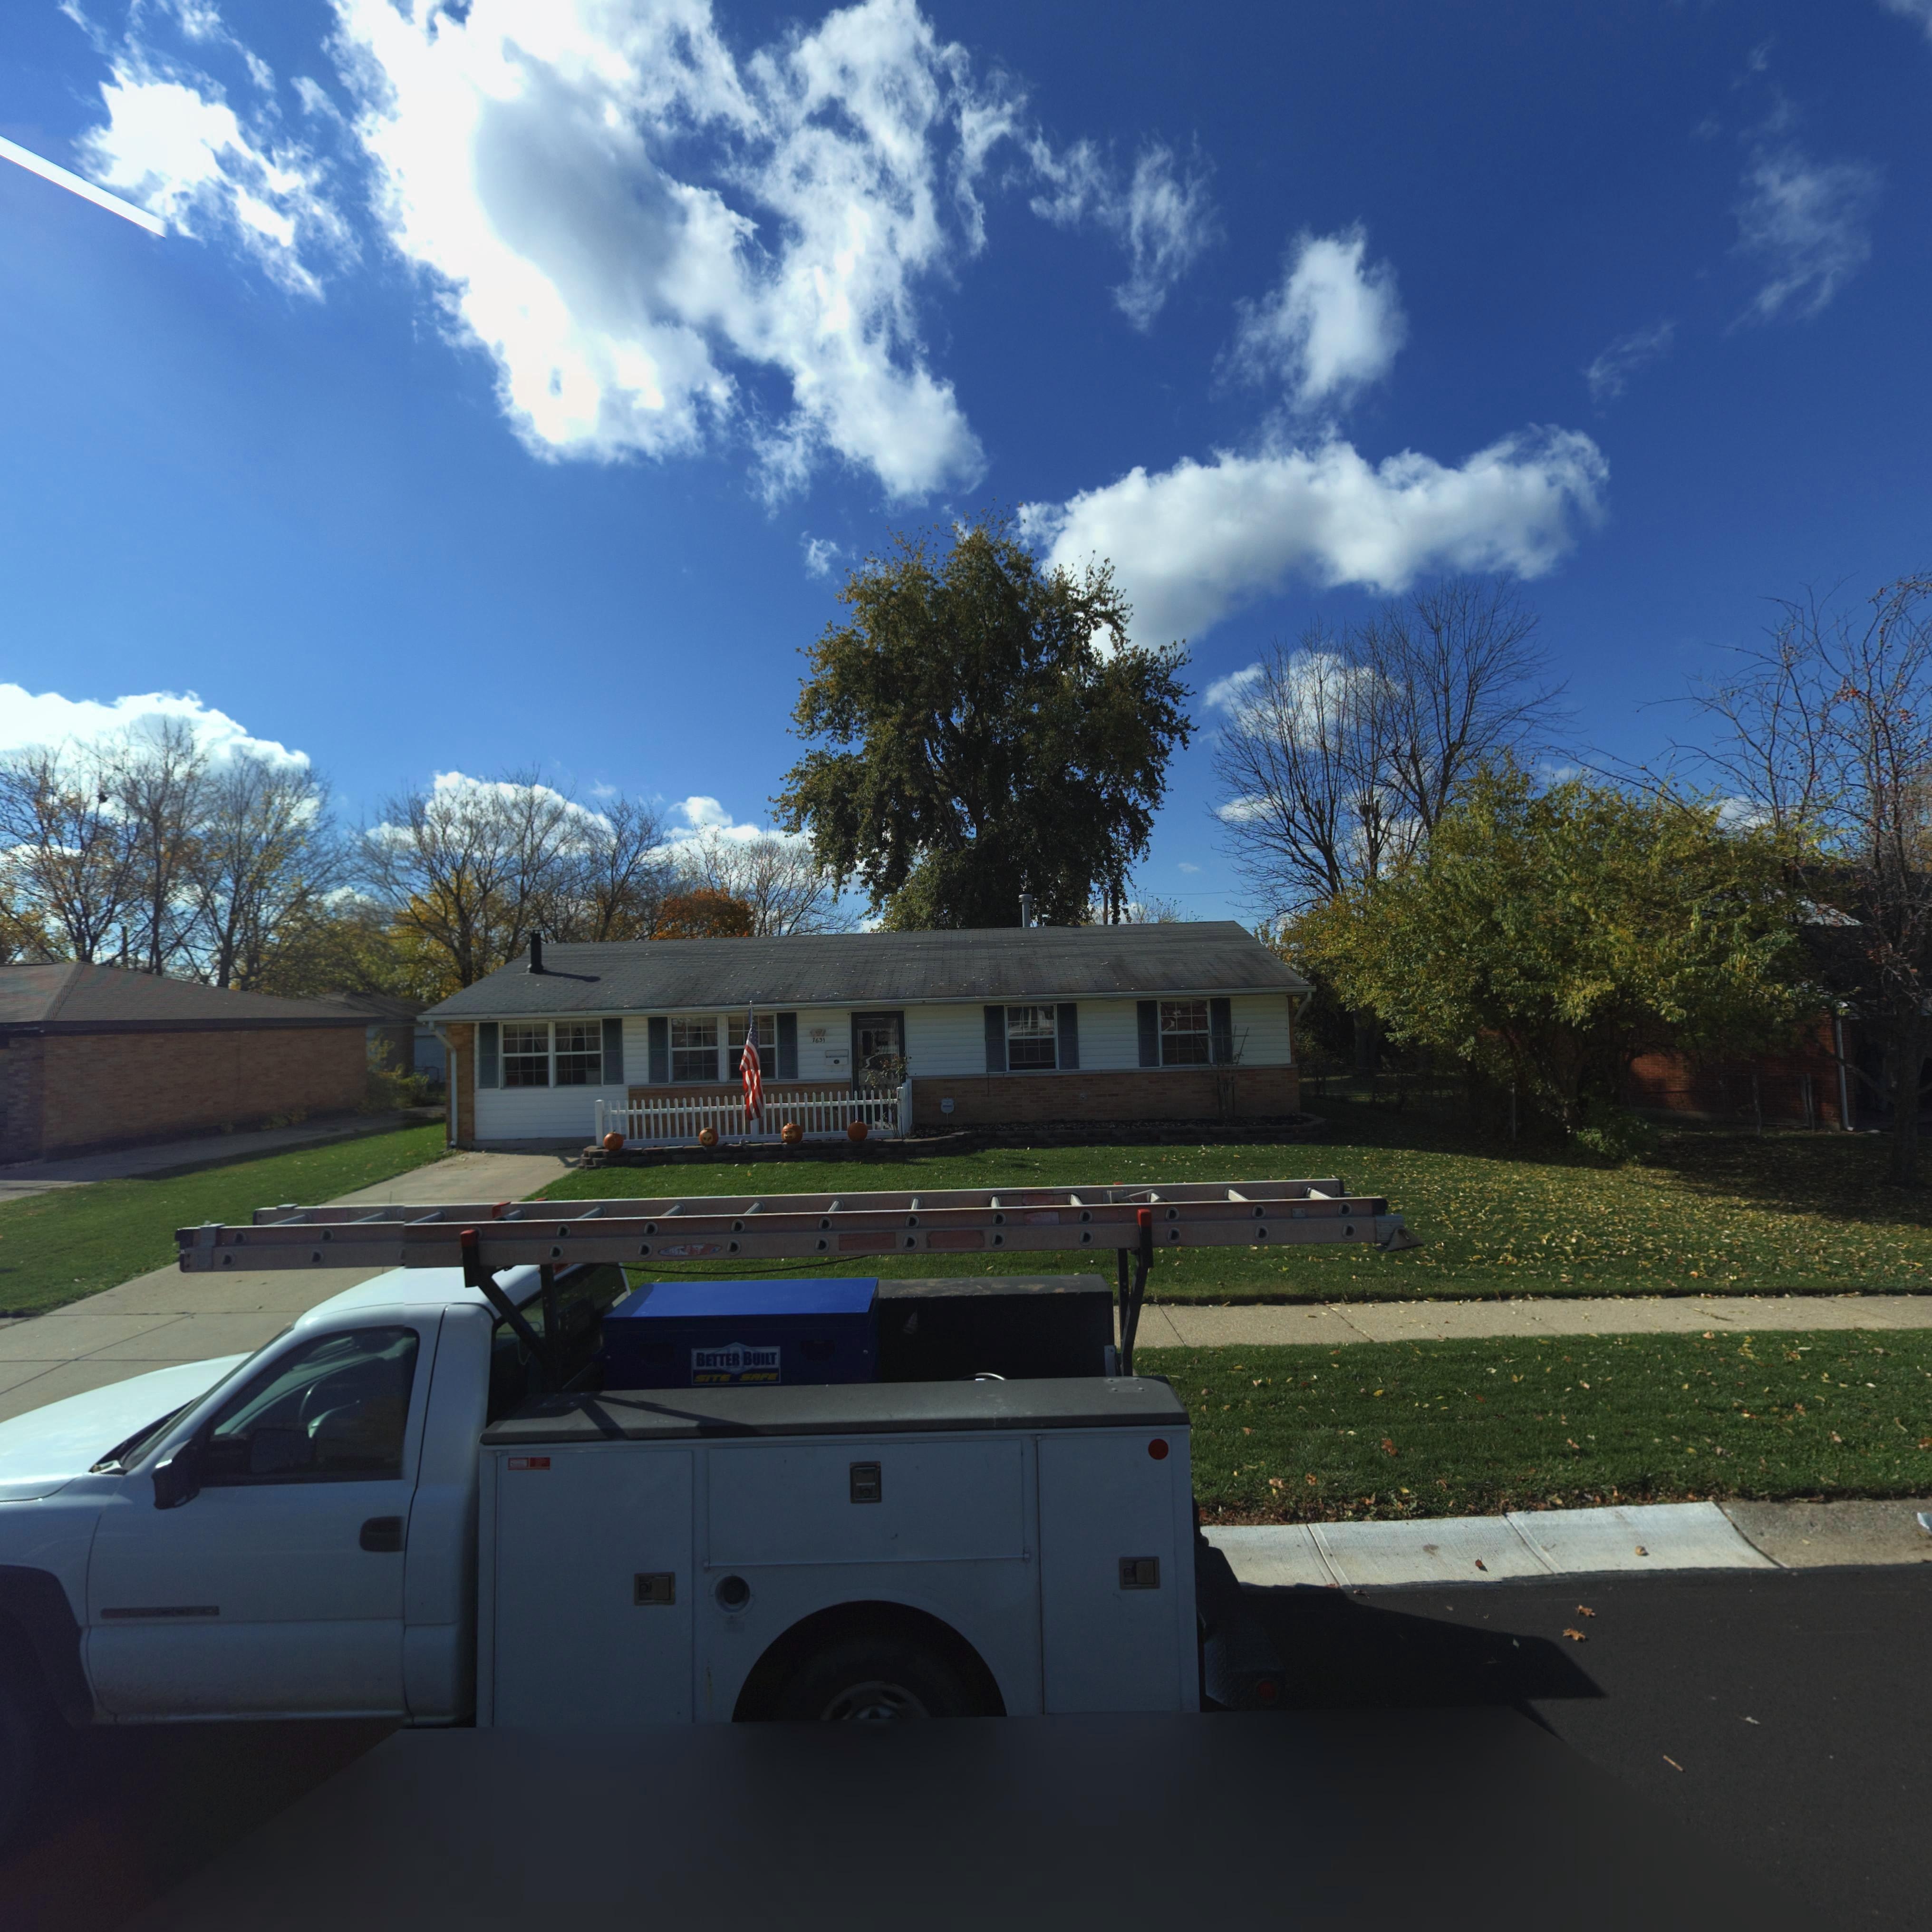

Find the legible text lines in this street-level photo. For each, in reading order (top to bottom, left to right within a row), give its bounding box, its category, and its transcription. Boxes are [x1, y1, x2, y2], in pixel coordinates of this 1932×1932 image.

[811, 1037, 825, 1043] StreetNumber: 7631